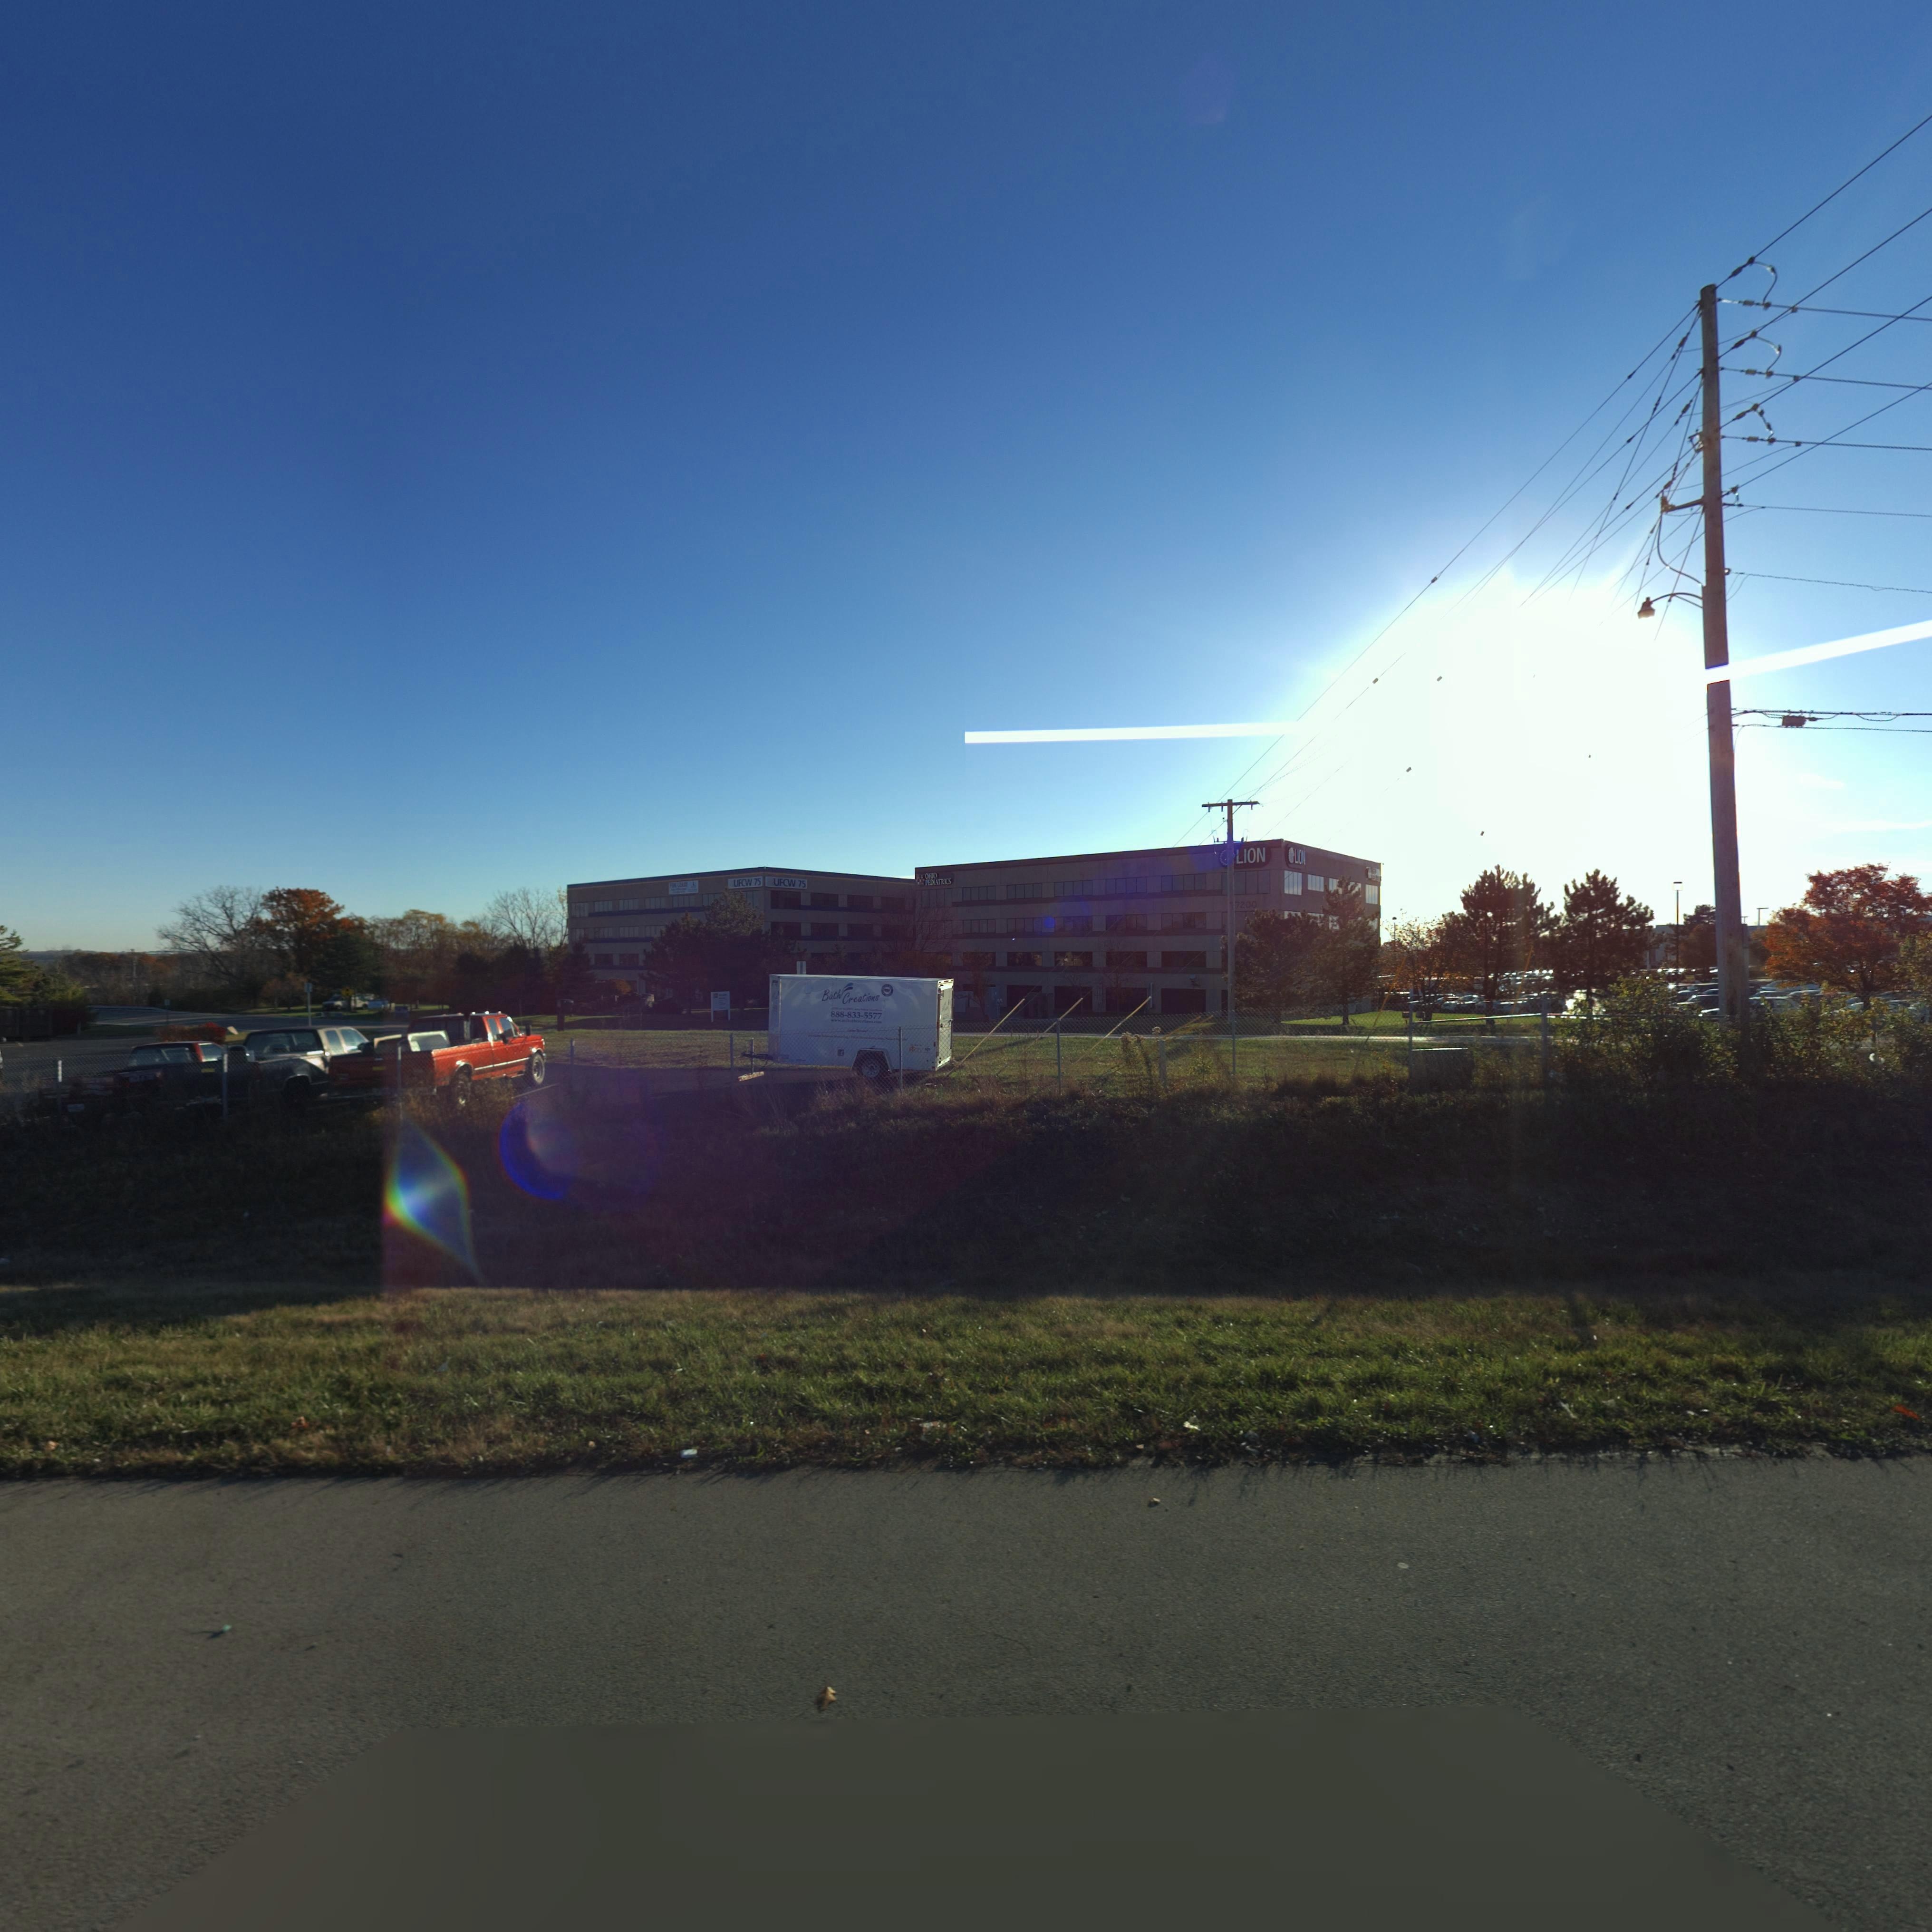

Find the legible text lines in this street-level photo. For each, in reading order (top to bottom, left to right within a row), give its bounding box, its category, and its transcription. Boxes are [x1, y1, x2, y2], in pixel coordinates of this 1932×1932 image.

[1235, 847, 1267, 865] None: LION
[1293, 848, 1307, 866] None: LION
[924, 870, 937, 879] None: OHIO
[732, 876, 761, 889] None: UFCW 75
[772, 877, 807, 888] None: UFCW 75
[923, 876, 952, 887] None: PEDIATRICS
[1233, 900, 1258, 910] StreetNumber: 7200
[821, 987, 881, 1005] None: Bath Creations
[829, 1009, 885, 1021] None: 888-833-5577